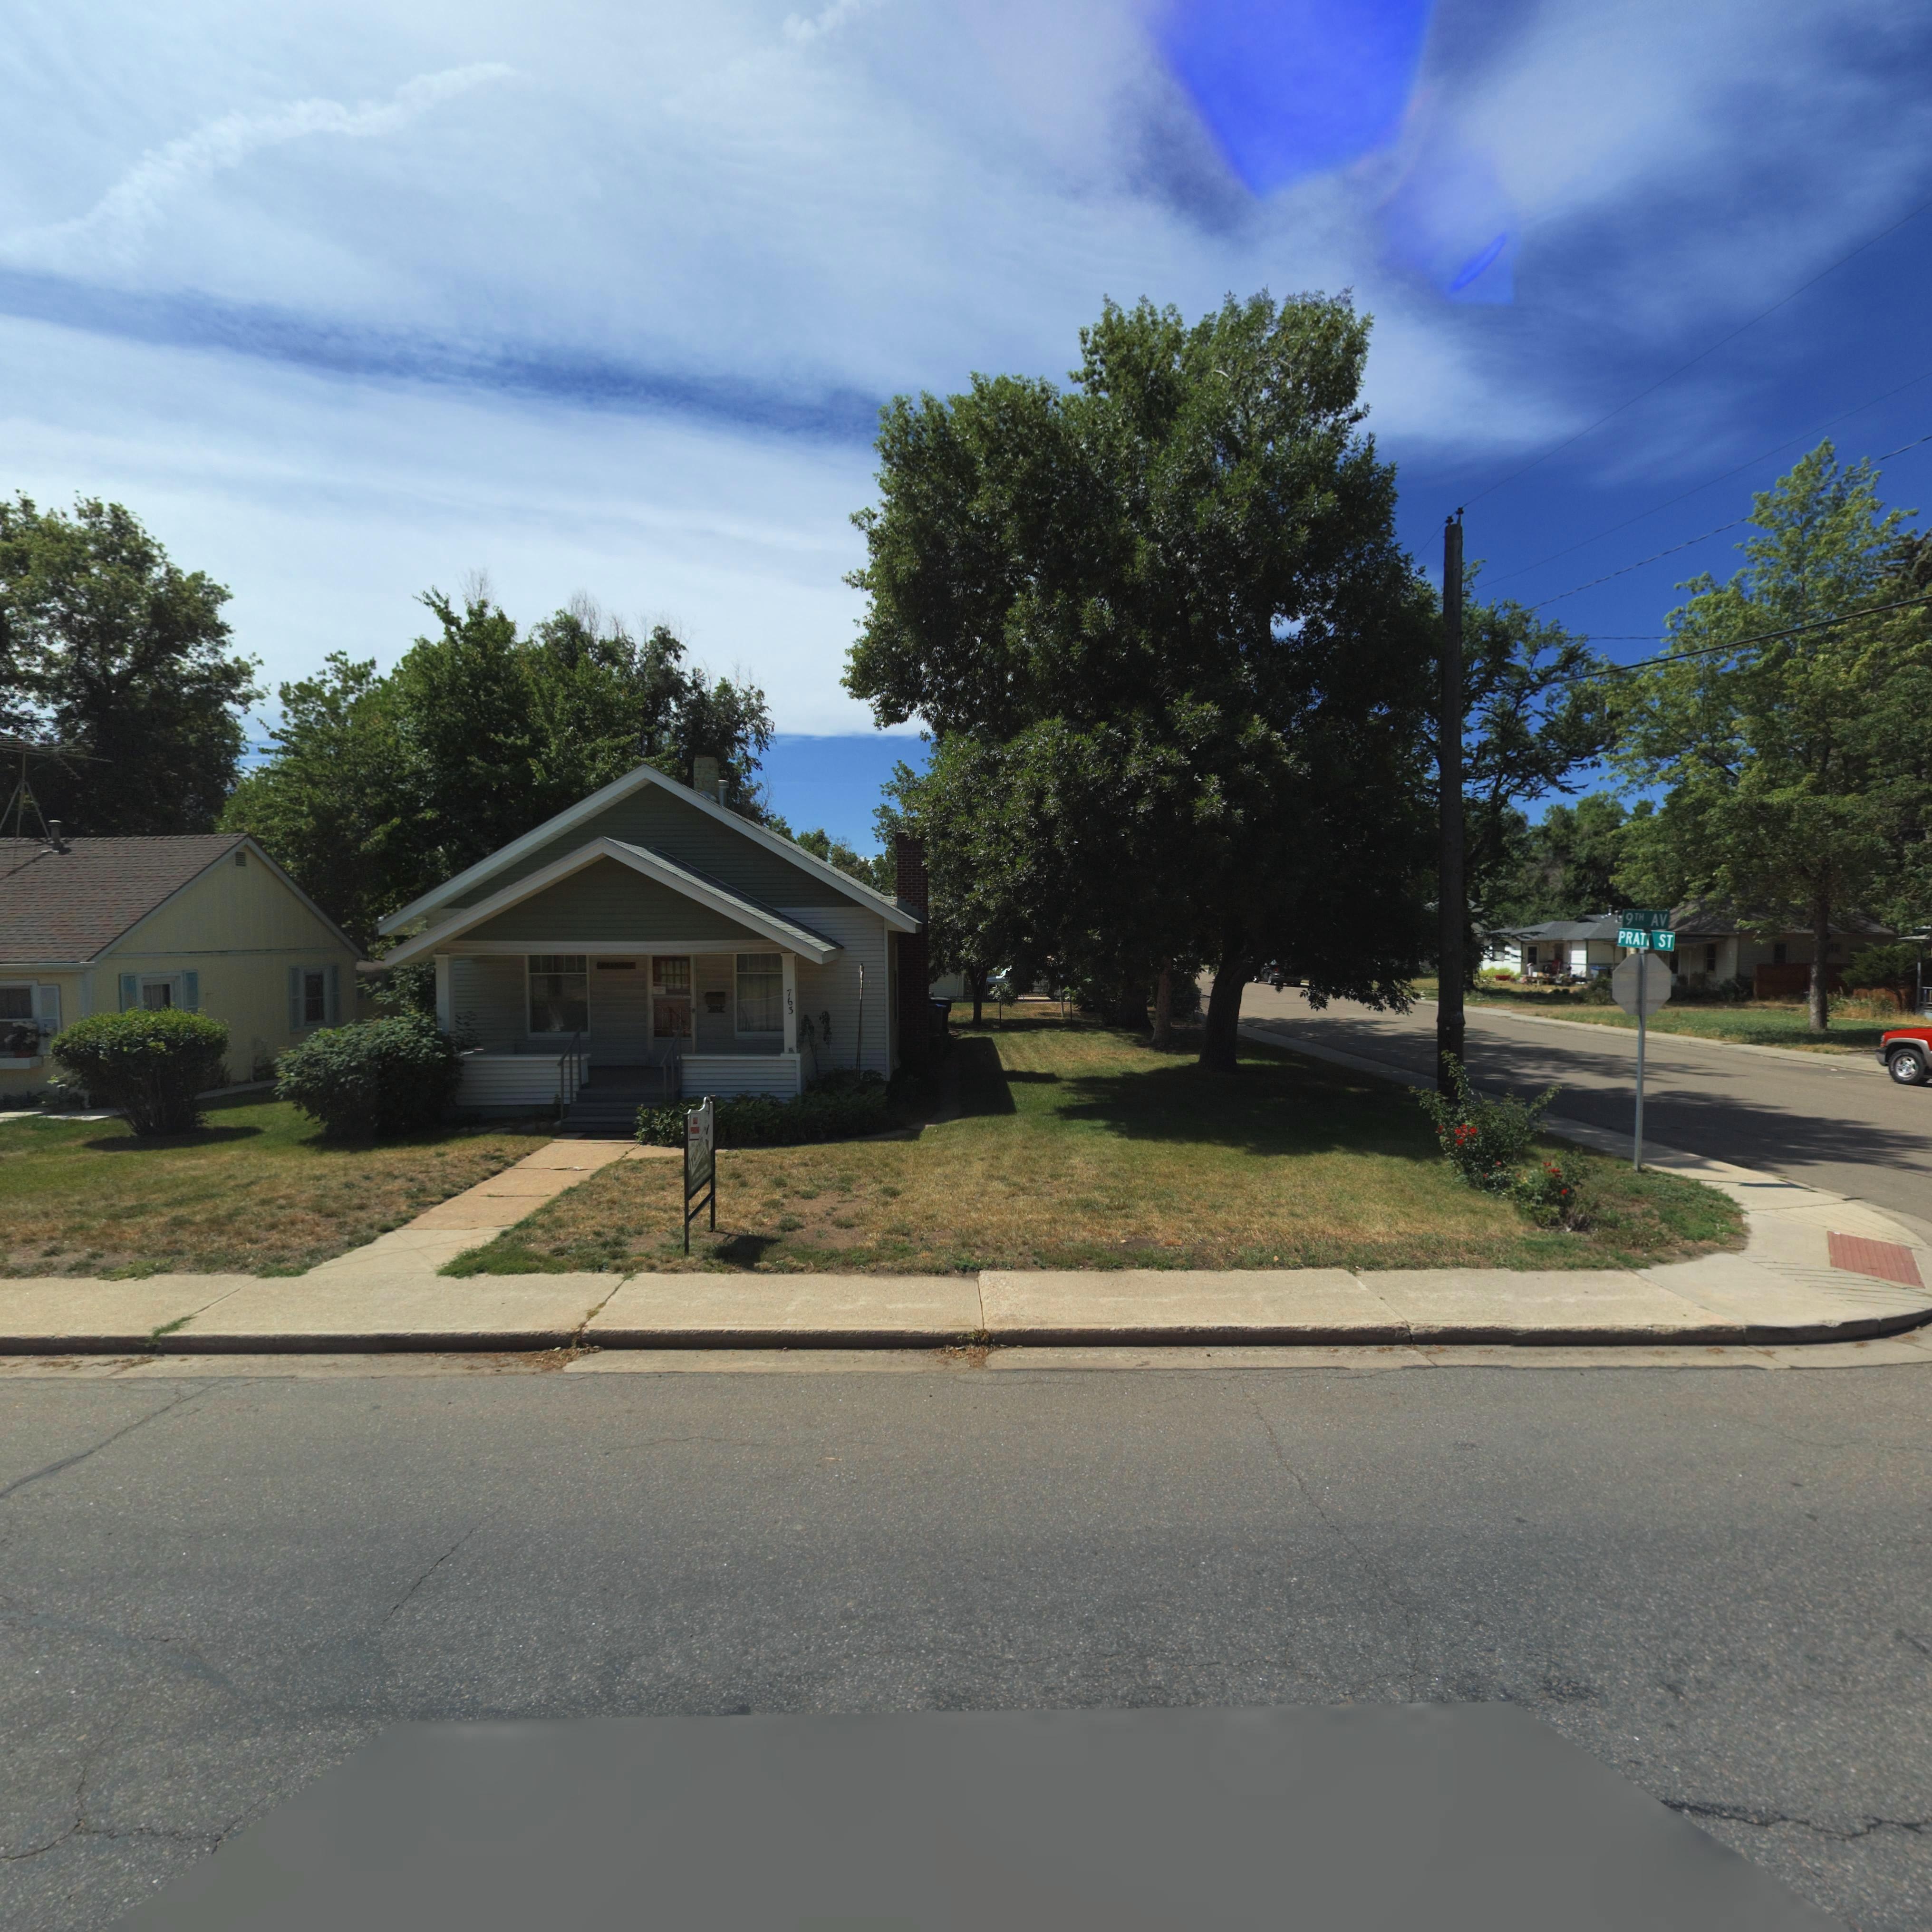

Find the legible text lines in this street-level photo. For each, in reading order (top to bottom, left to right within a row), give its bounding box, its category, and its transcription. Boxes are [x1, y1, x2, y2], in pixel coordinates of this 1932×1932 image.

[1625, 912, 1668, 927] StreetName: 9TH AV
[1617, 930, 1674, 948] StreetName: PRATT ST
[787, 988, 793, 1014] StreetNumber: 763